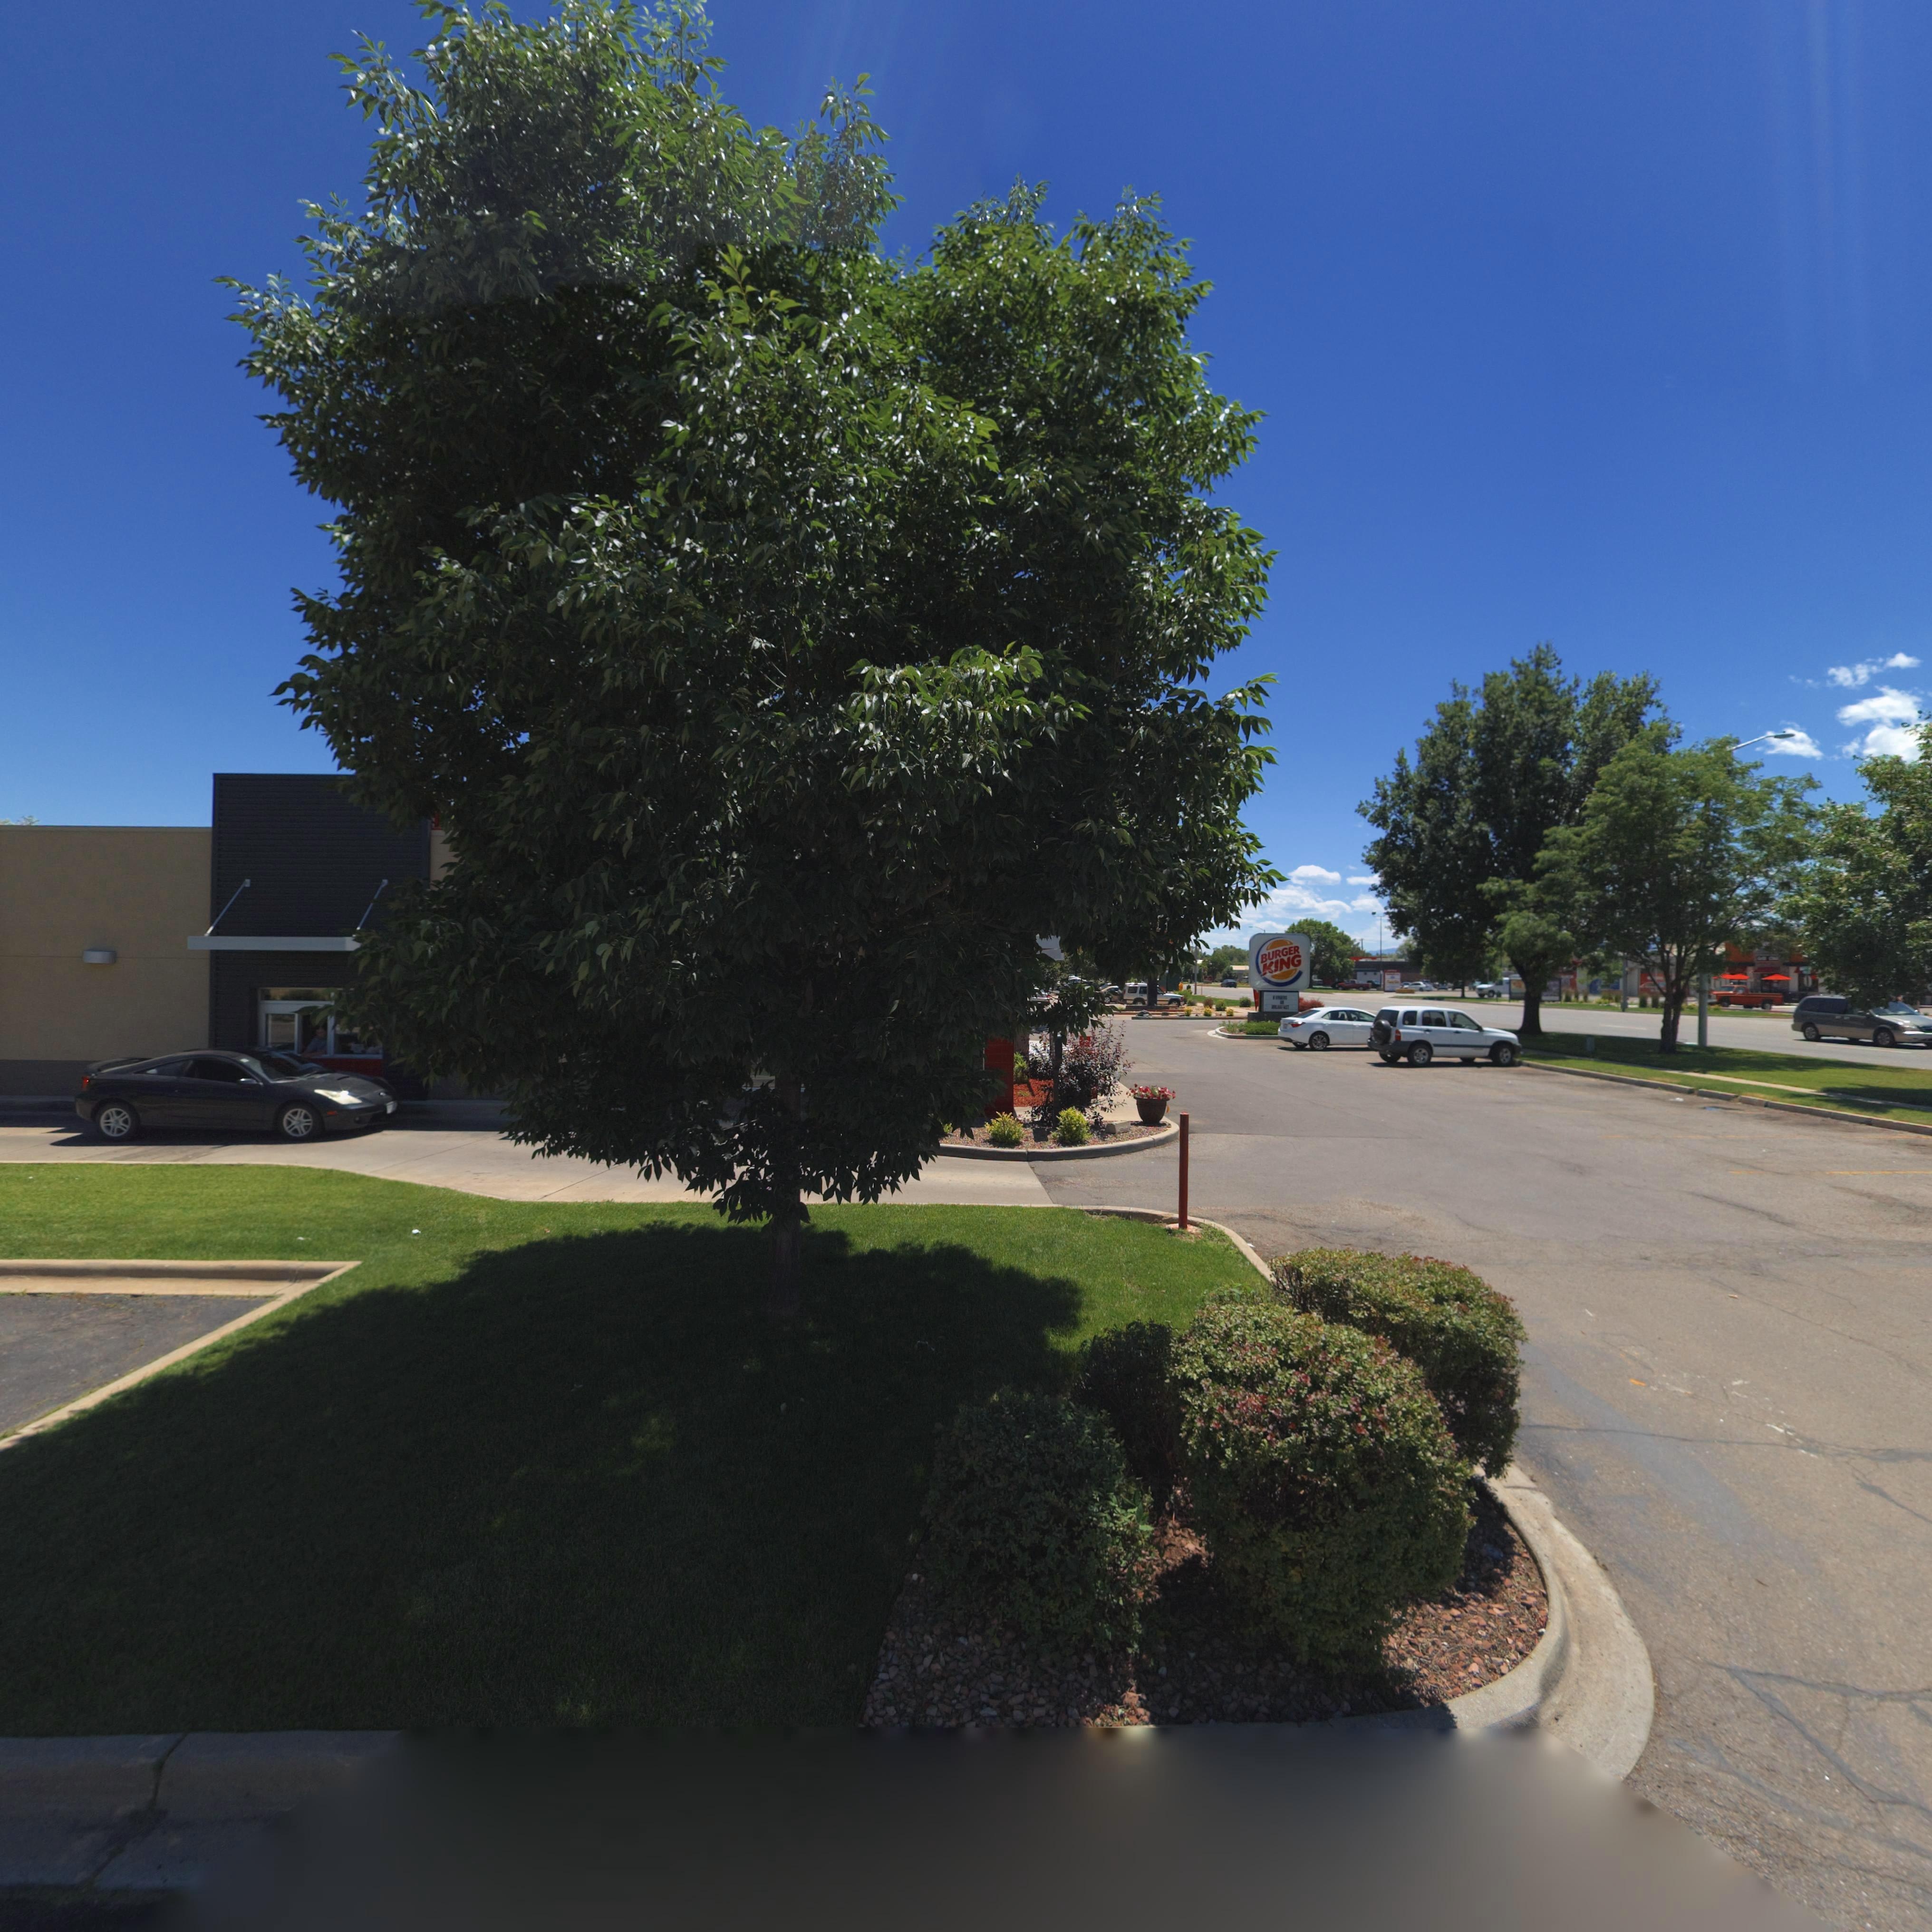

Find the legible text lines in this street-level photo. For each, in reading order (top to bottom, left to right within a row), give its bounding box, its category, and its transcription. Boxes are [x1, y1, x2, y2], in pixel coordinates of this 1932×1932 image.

[1260, 945, 1300, 964] BusinessName: BURGER
[1262, 954, 1302, 977] BusinessName: KING